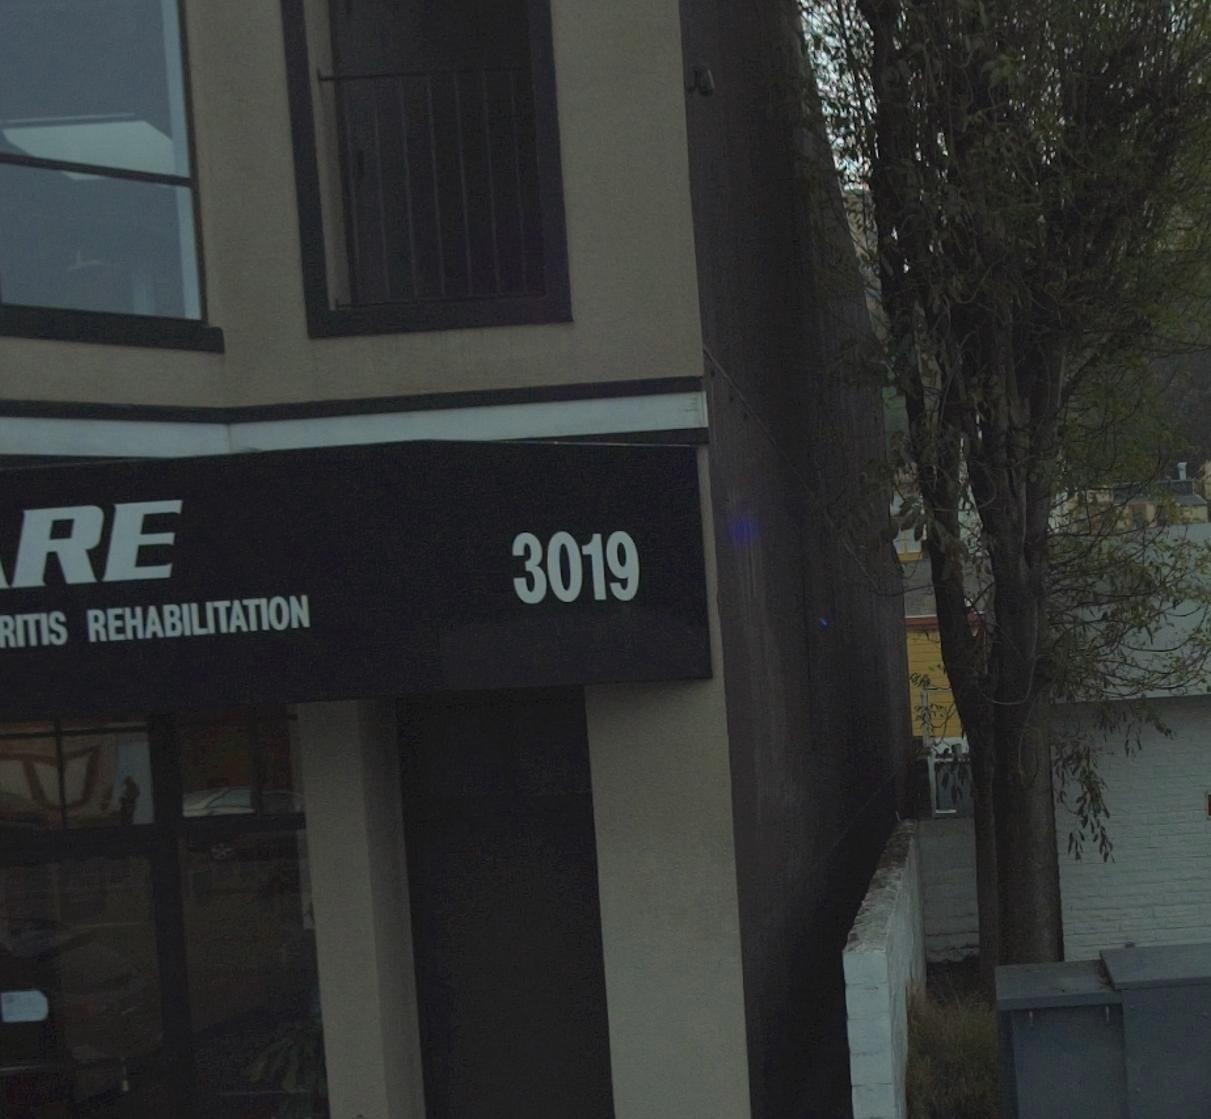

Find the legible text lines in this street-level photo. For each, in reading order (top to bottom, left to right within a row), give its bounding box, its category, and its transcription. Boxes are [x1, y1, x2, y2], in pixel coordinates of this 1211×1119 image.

[9, 498, 186, 588] BusinessName: RE
[512, 527, 642, 604] StreetNumber: 3019
[0, 593, 310, 650] BusinessName: RITIS REHABILITATION